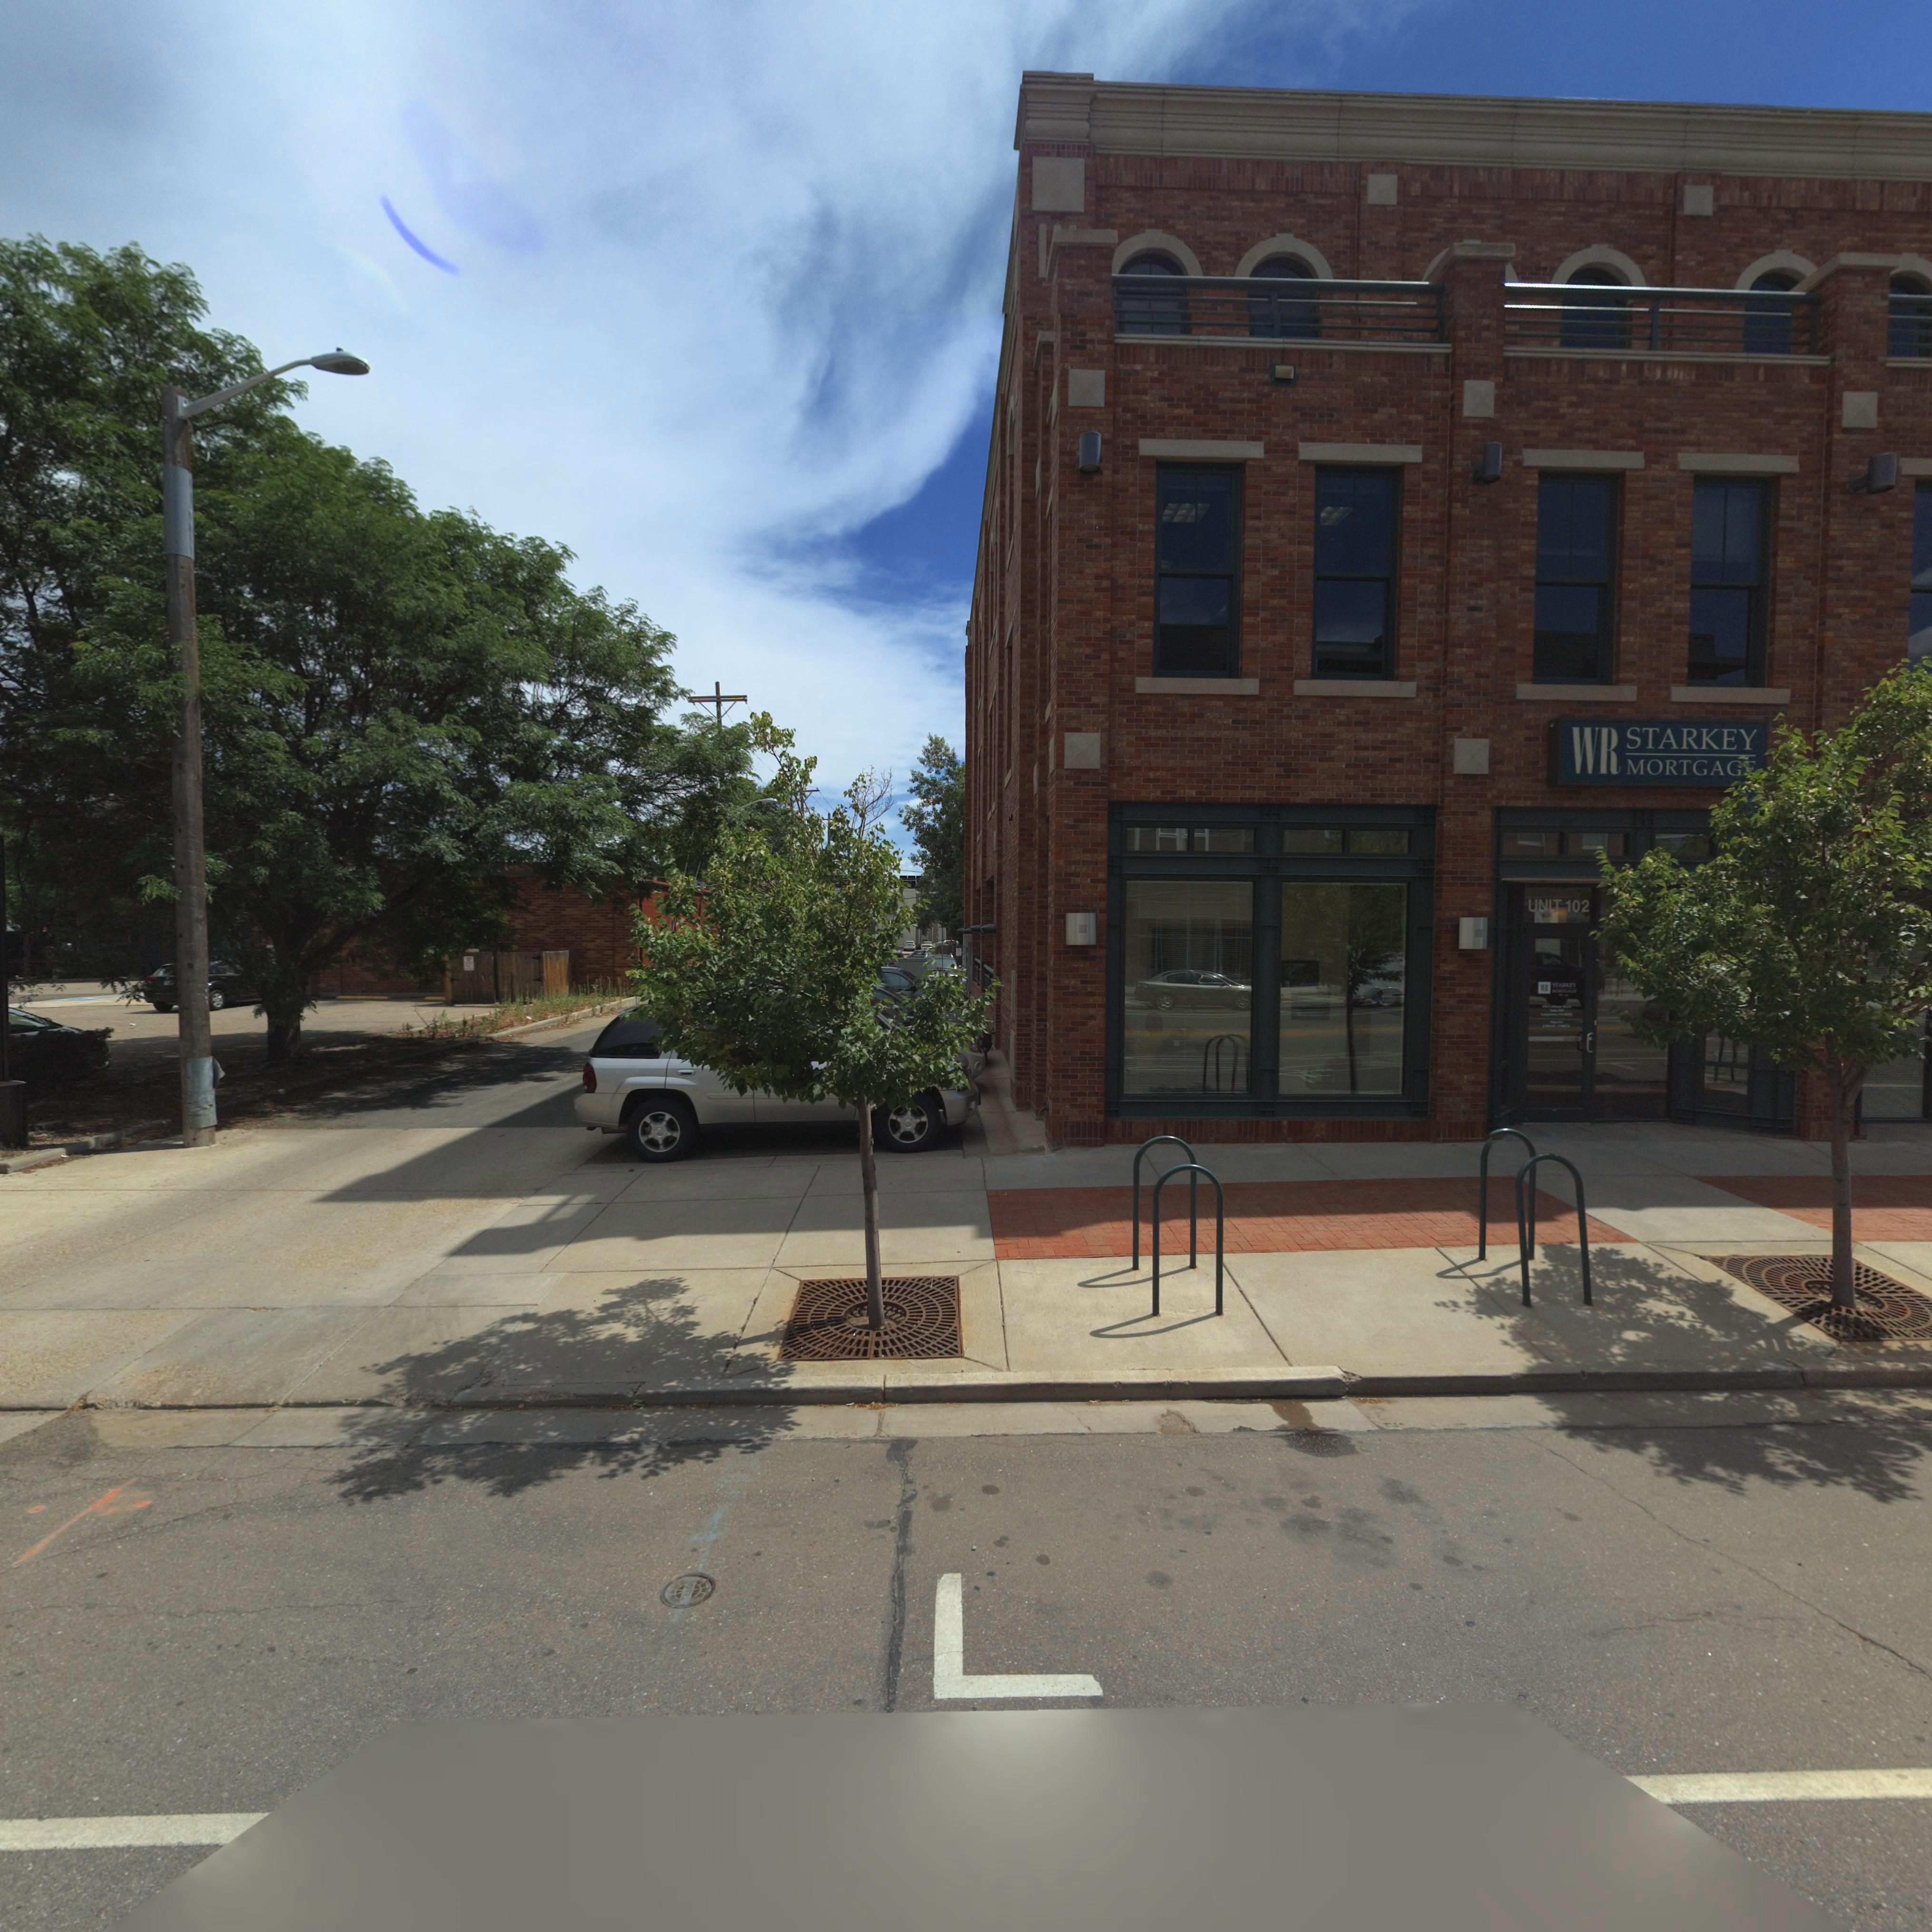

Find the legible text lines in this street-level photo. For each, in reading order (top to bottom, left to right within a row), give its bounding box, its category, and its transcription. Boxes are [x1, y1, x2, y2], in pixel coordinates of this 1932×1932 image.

[1626, 726, 1758, 750] BusinessName: STARKEY
[1570, 725, 1622, 776] BusinessName: WR
[1625, 758, 1756, 778] BusinessName: MORTGAGE
[1528, 898, 1589, 912] SecondaryUnitDesignator: UNIT 102
[1540, 984, 1548, 991] BusinessName: WR
[1552, 989, 1576, 993] BusinessName: MORTGAGE
[1552, 982, 1577, 987] BusinessName: STARKEY